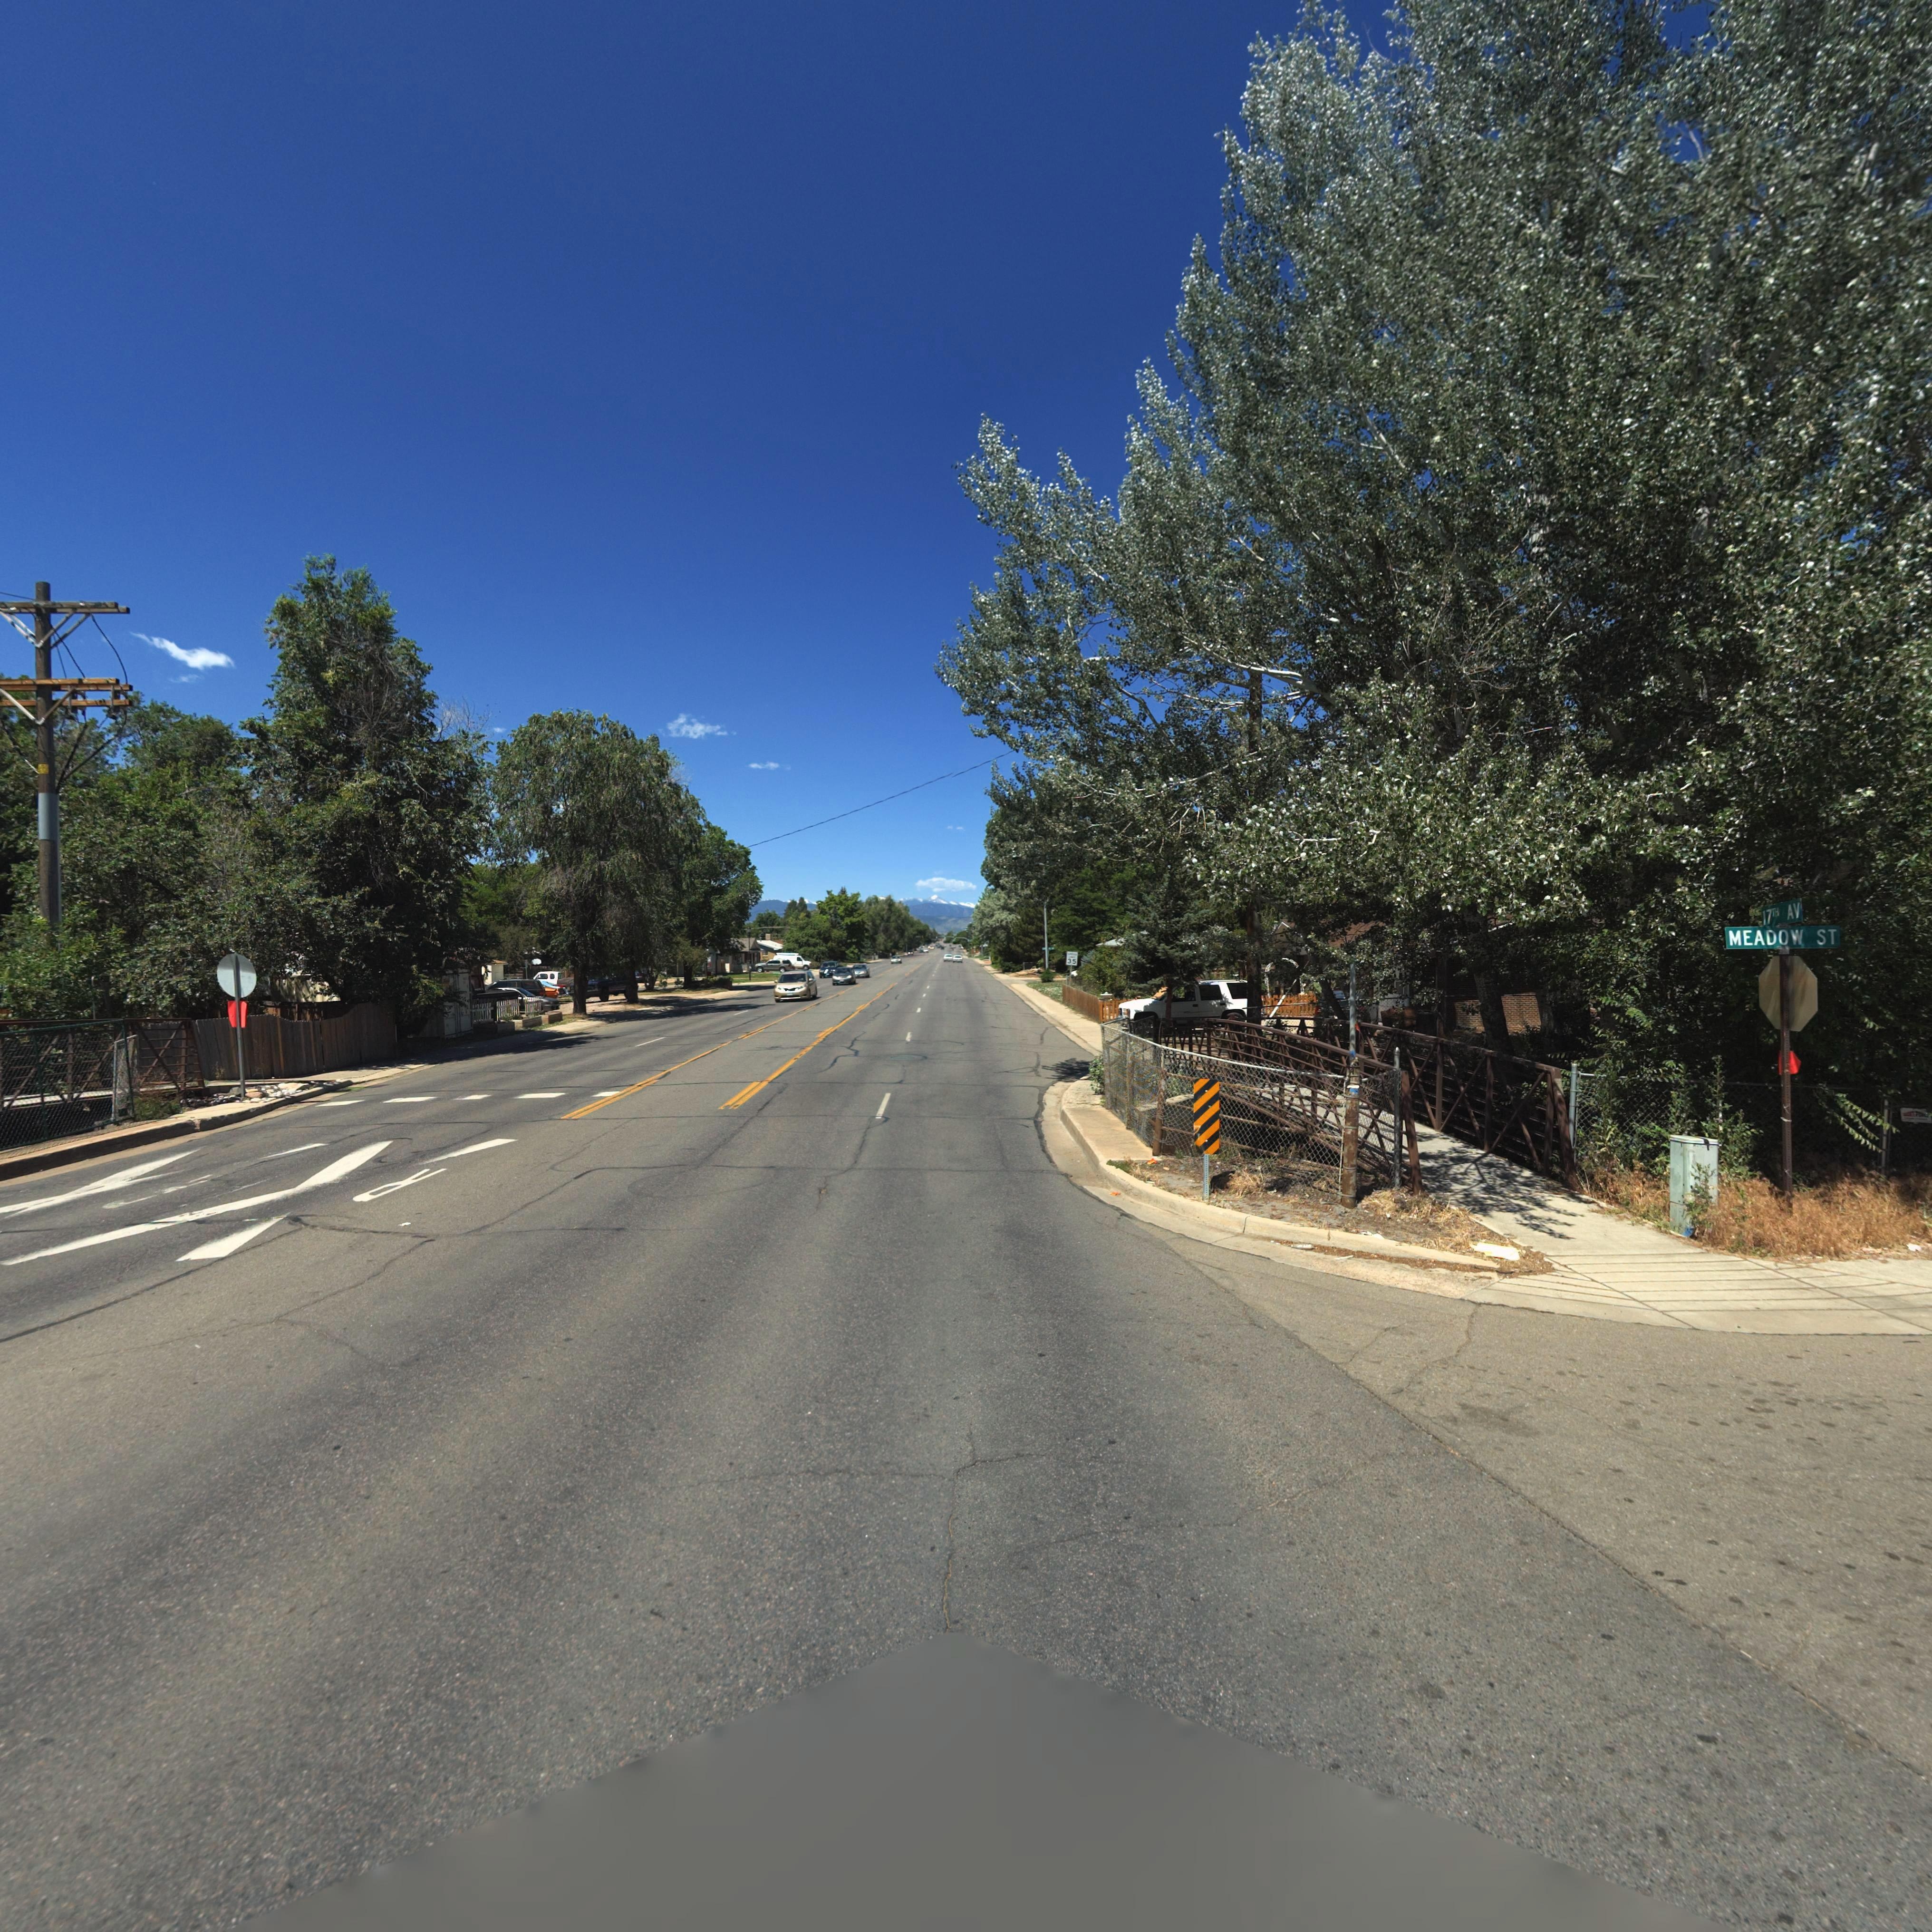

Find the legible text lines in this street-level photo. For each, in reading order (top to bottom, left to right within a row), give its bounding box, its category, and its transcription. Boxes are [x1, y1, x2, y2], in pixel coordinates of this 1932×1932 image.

[1761, 901, 1800, 926] StreetName: 17TH AV
[1728, 929, 1837, 946] StreetName: MEADOW ST